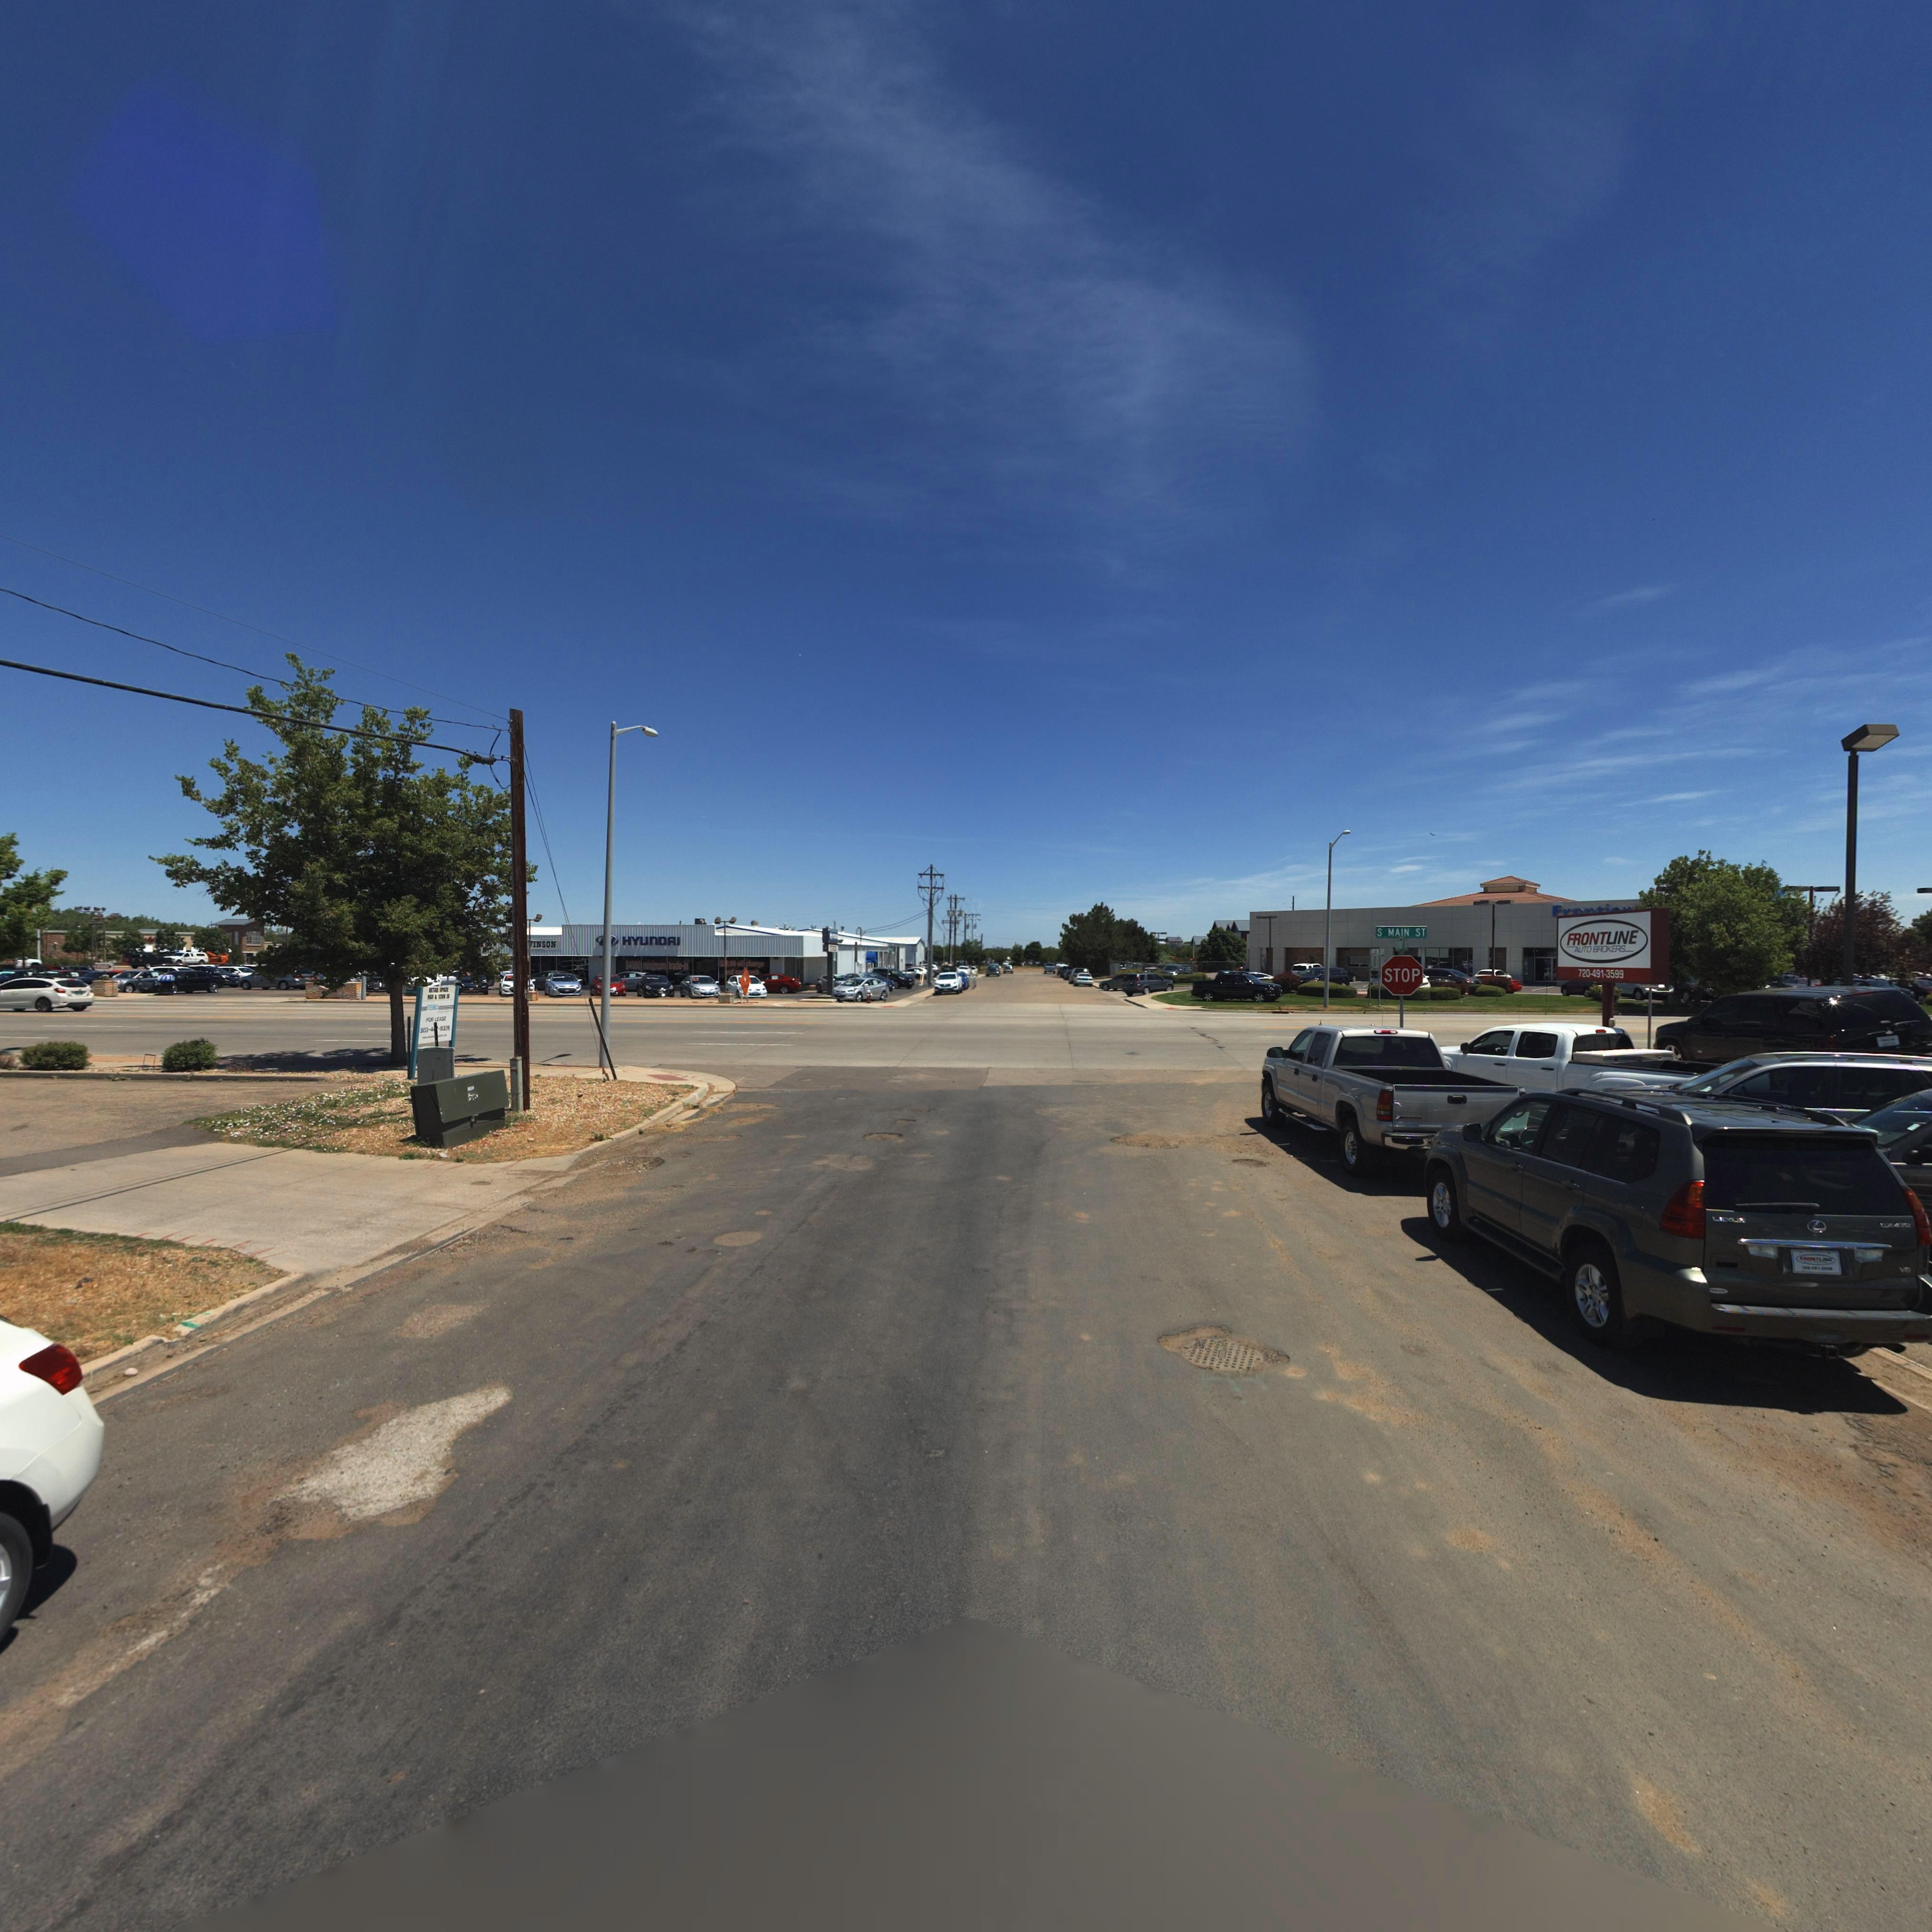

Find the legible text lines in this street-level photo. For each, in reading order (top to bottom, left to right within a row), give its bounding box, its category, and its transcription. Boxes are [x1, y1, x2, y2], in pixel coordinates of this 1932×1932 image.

[1551, 902, 1633, 918] BusinessName: Fron****
[1377, 927, 1426, 937] StreetName: S MAIN ST
[532, 940, 557, 948] BusinessName: INSON
[621, 936, 681, 946] BusinessName: HYUnDAI
[1573, 945, 1625, 953] BusinessName: AUTO BROKERS
[1566, 929, 1639, 946] BusinessName: FRONTLINE